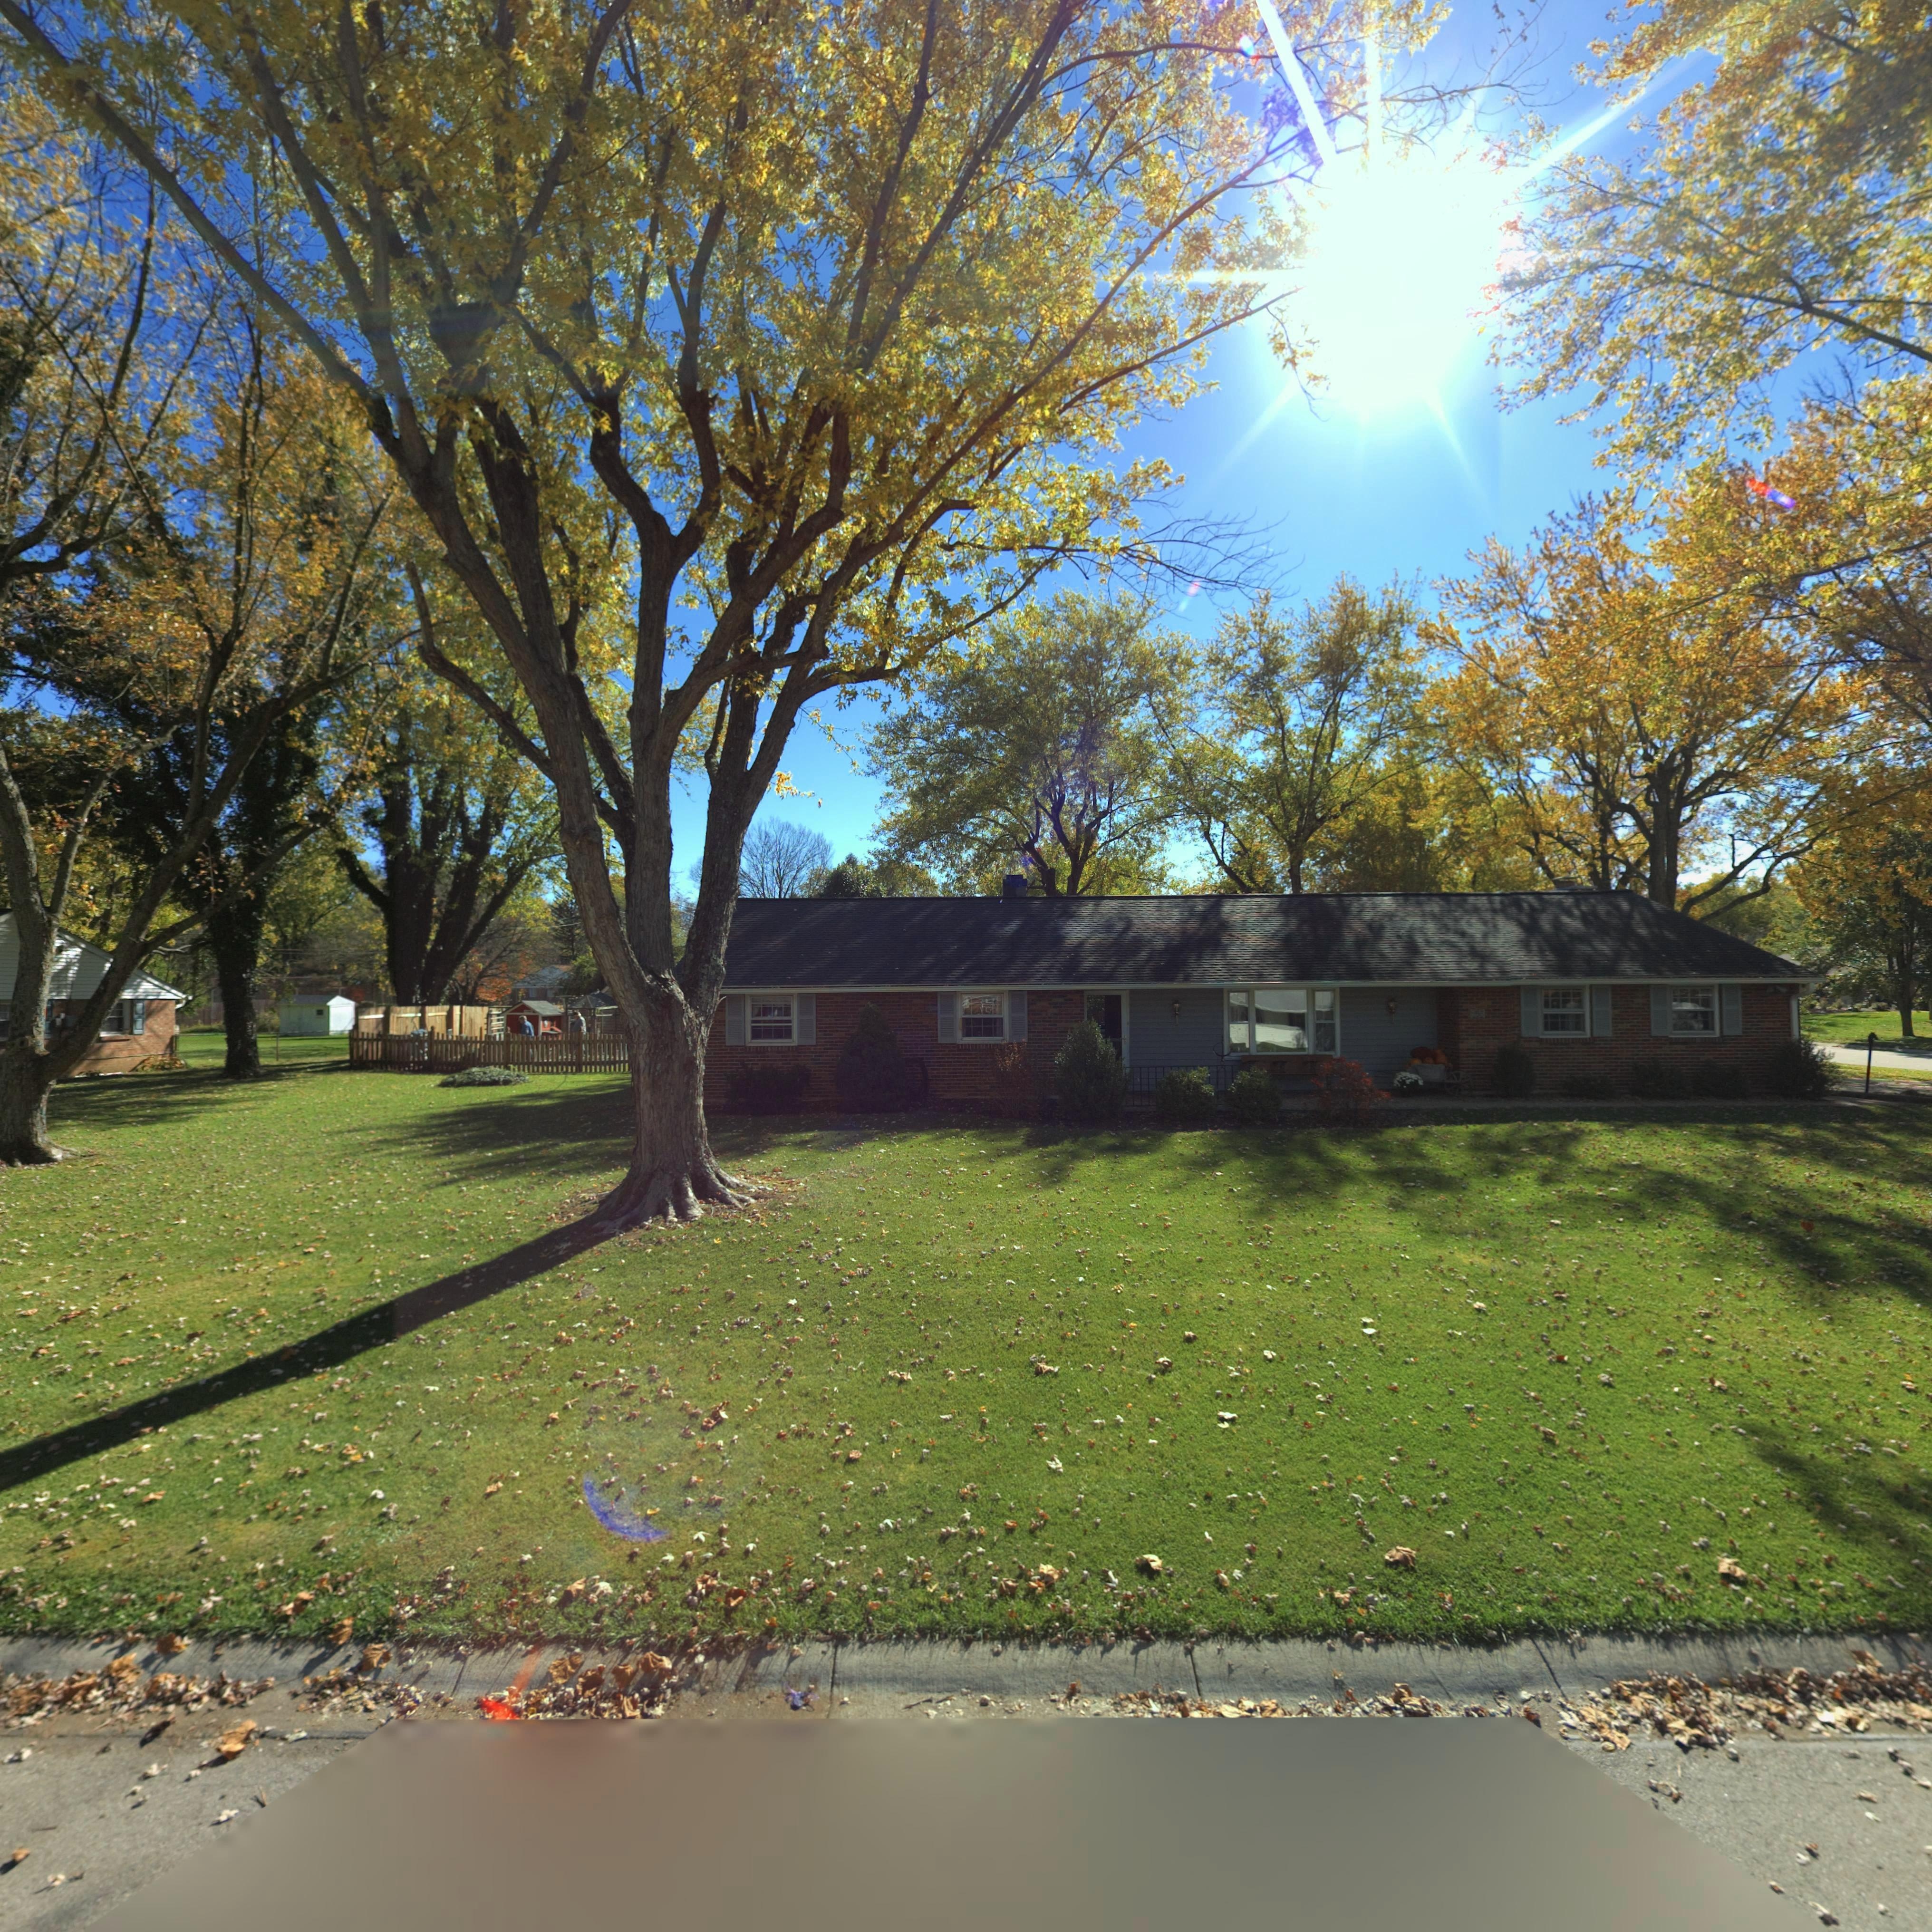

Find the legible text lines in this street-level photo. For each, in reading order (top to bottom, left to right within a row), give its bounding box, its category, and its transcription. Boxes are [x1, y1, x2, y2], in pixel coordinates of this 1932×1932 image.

[1470, 1010, 1485, 1018] StreetNumber: 556